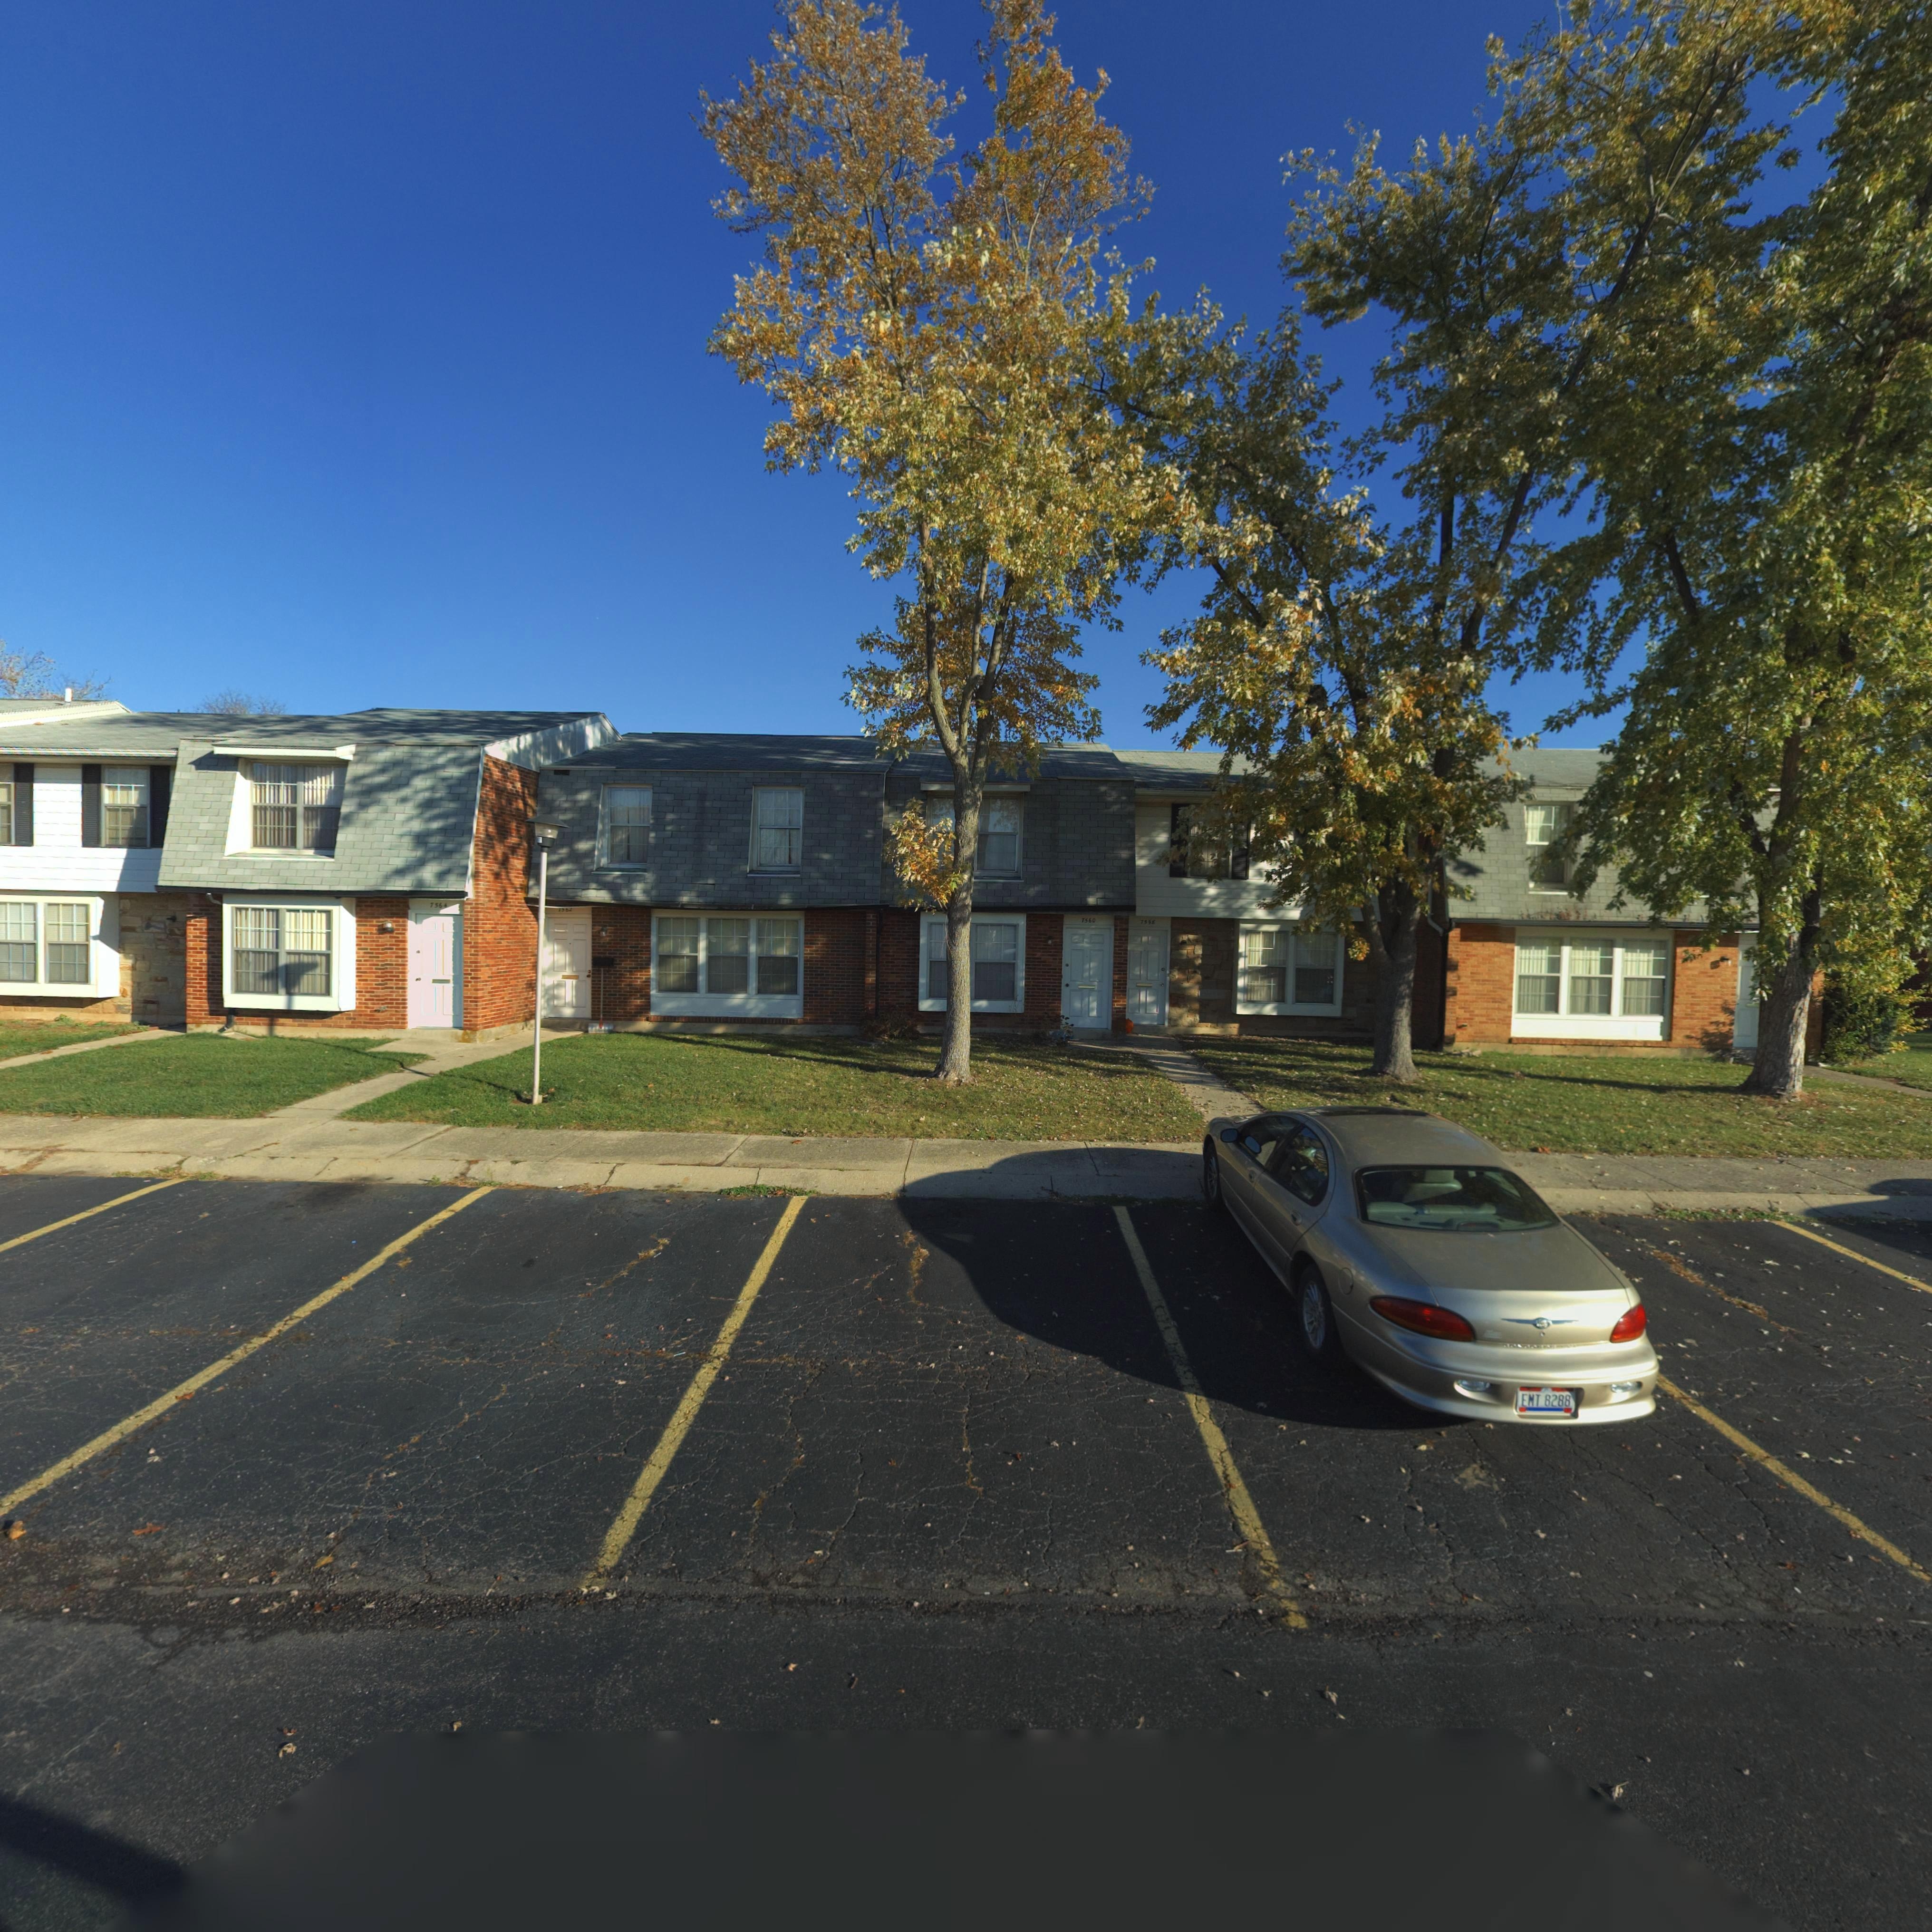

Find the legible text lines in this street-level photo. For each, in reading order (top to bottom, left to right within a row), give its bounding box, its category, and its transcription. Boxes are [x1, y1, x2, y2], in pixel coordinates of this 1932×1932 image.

[429, 901, 448, 909] StreetNumber: 756*
[1081, 917, 1097, 924] StreetNumber: 7560
[1140, 918, 1156, 926] StreetNumber: 7558